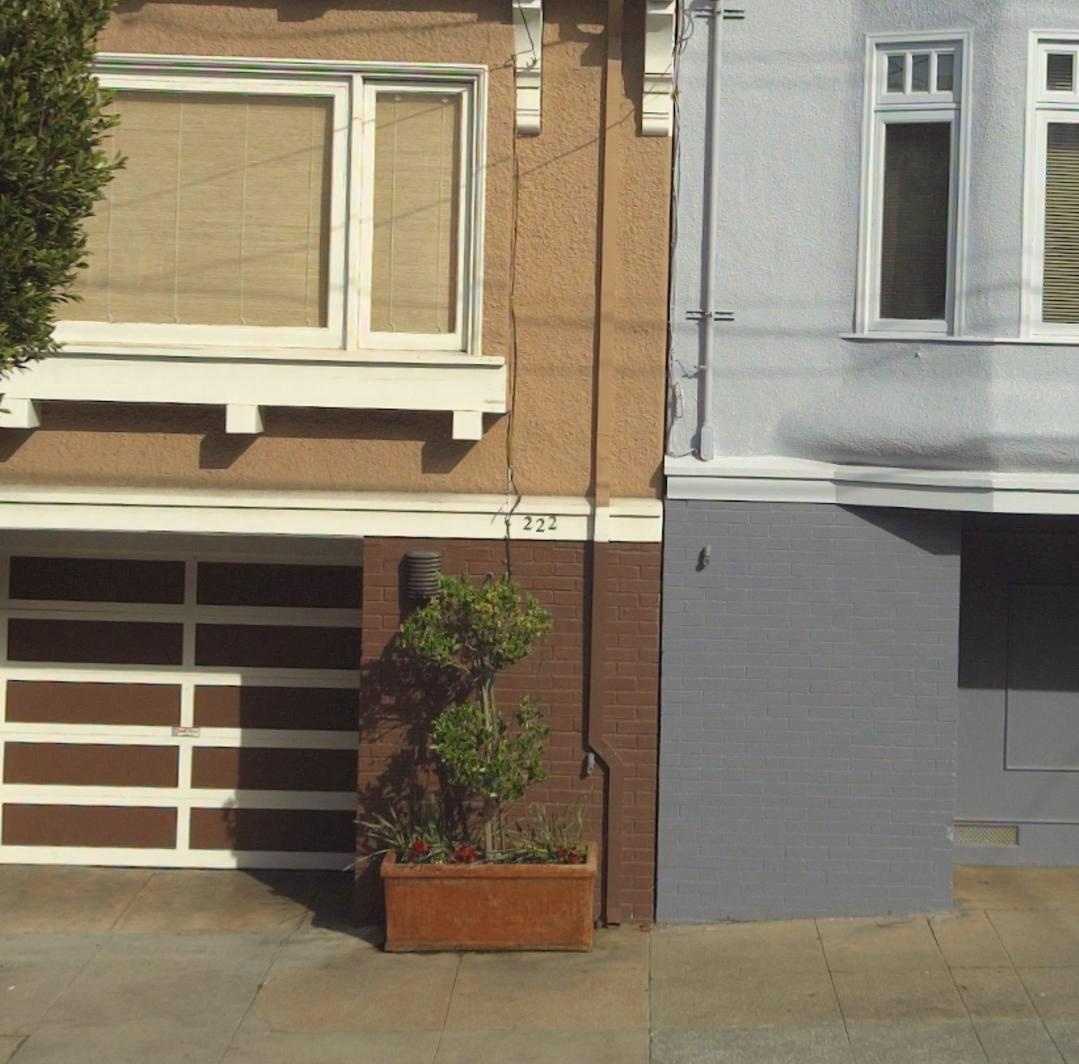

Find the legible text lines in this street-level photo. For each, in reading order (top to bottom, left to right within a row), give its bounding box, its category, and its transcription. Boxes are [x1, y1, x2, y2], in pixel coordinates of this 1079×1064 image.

[522, 514, 558, 533] StreetNumber: 222